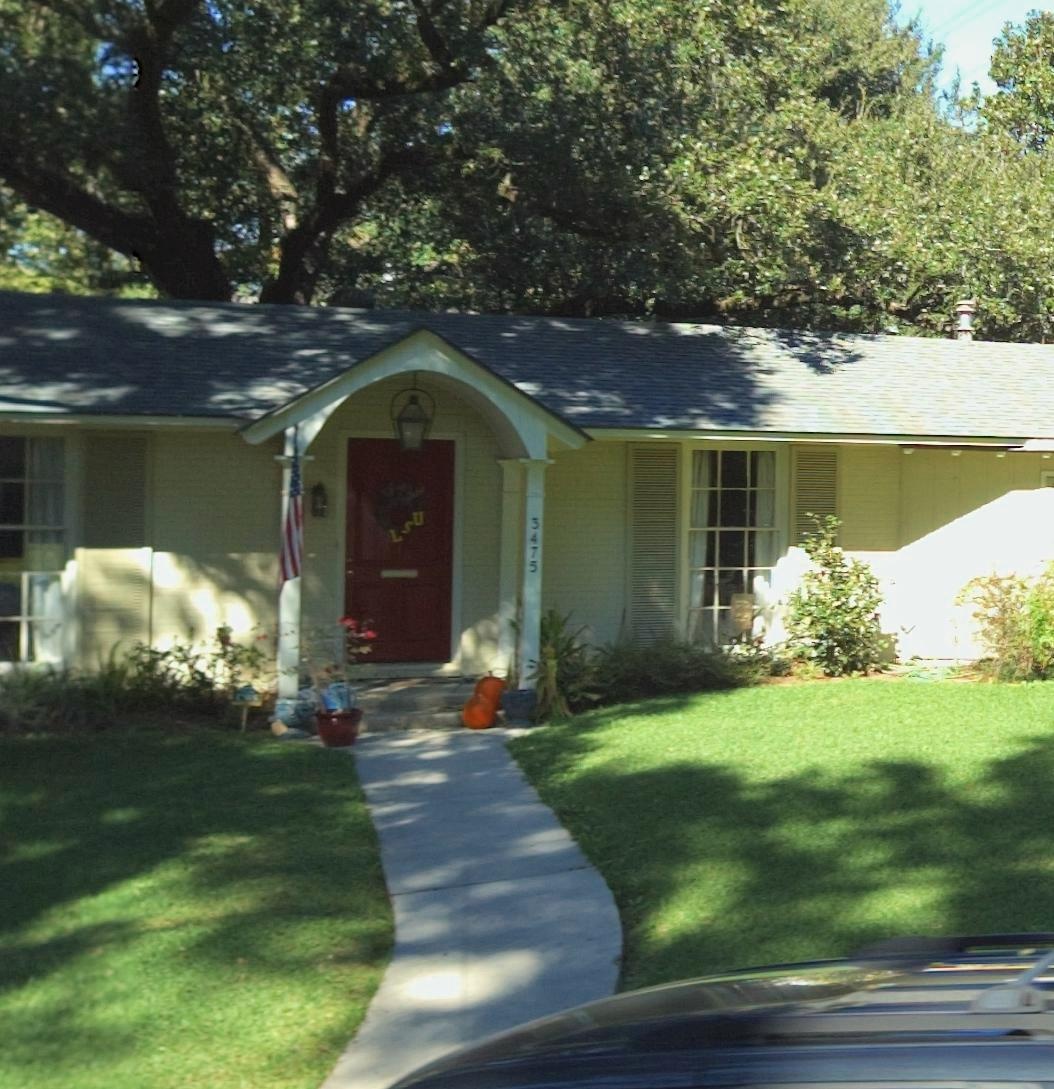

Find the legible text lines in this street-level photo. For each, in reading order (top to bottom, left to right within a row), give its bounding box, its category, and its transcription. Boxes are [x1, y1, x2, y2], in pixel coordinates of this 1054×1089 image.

[385, 508, 427, 547] None: LSU
[525, 515, 542, 575] StreetNumber: 3475